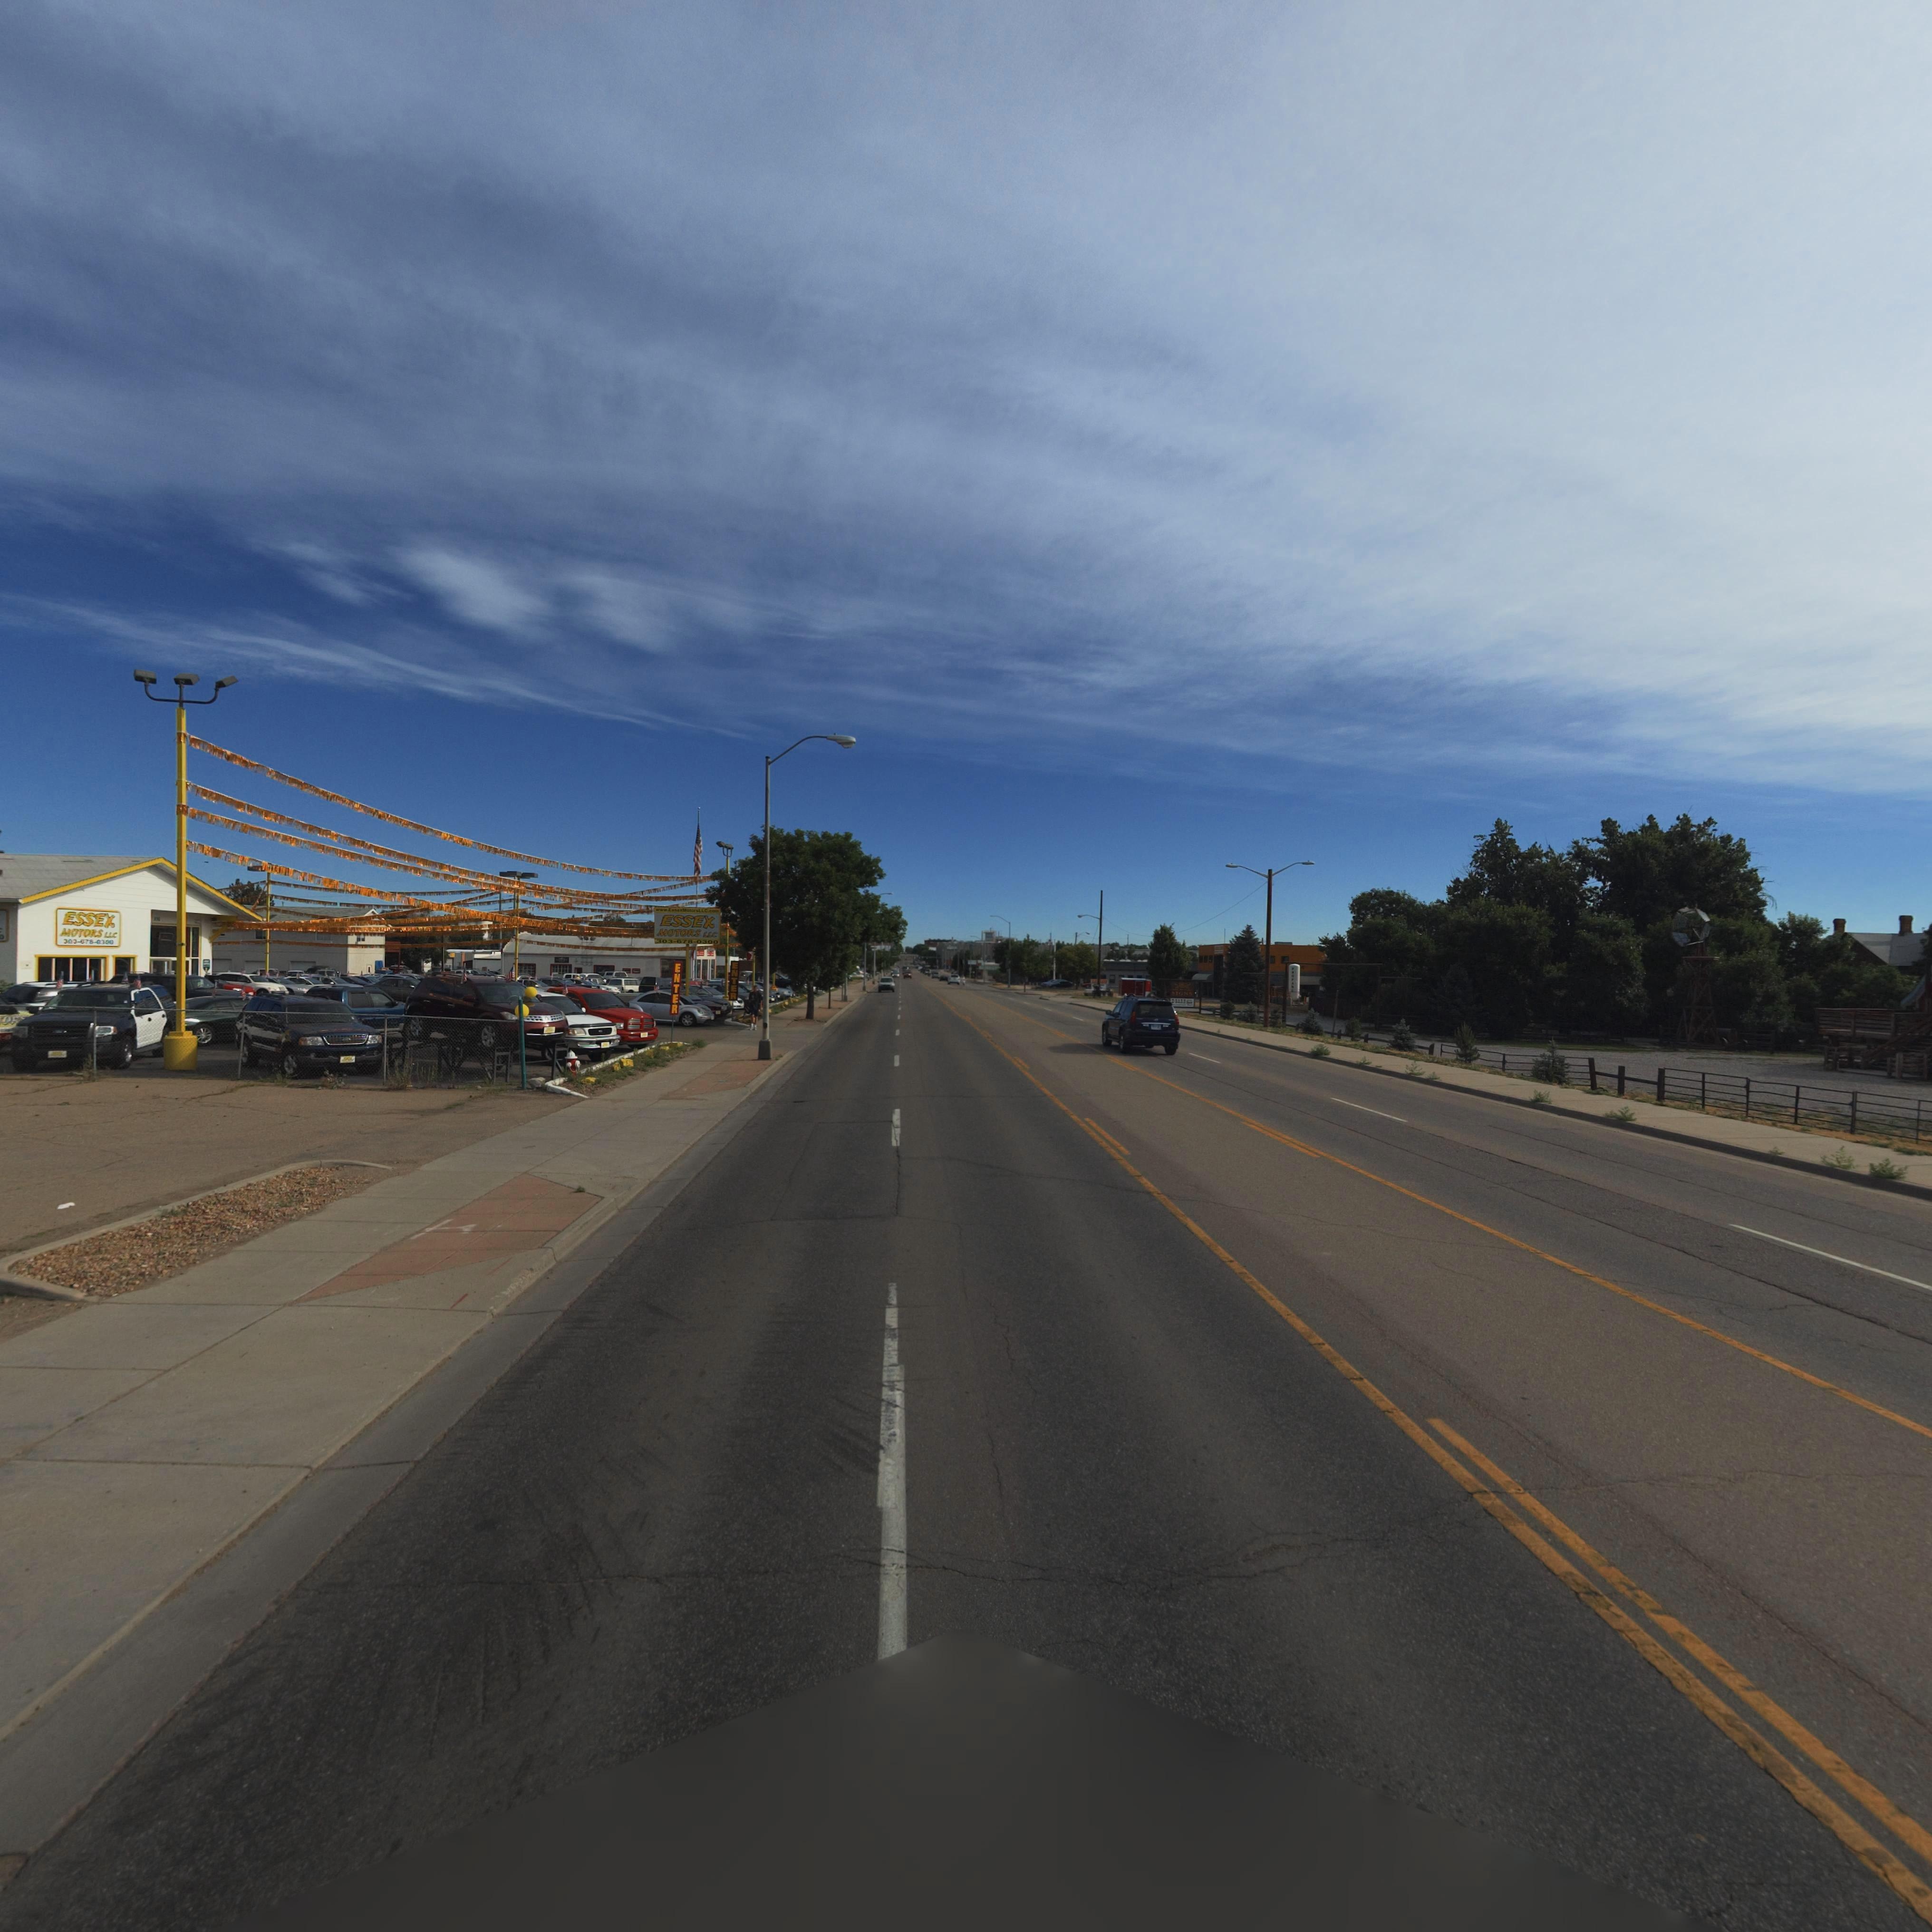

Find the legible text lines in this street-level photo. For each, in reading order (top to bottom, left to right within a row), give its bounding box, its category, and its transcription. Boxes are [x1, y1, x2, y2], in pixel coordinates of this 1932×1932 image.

[61, 911, 116, 928] BusinessName: ESSEX
[659, 914, 715, 929] BusinessName: ESSEX
[59, 927, 117, 938] BusinessName: MOTORS LLC
[656, 928, 718, 938] BusinessName: MOTORS LLC
[1171, 999, 1186, 1003] BusinessName: D****